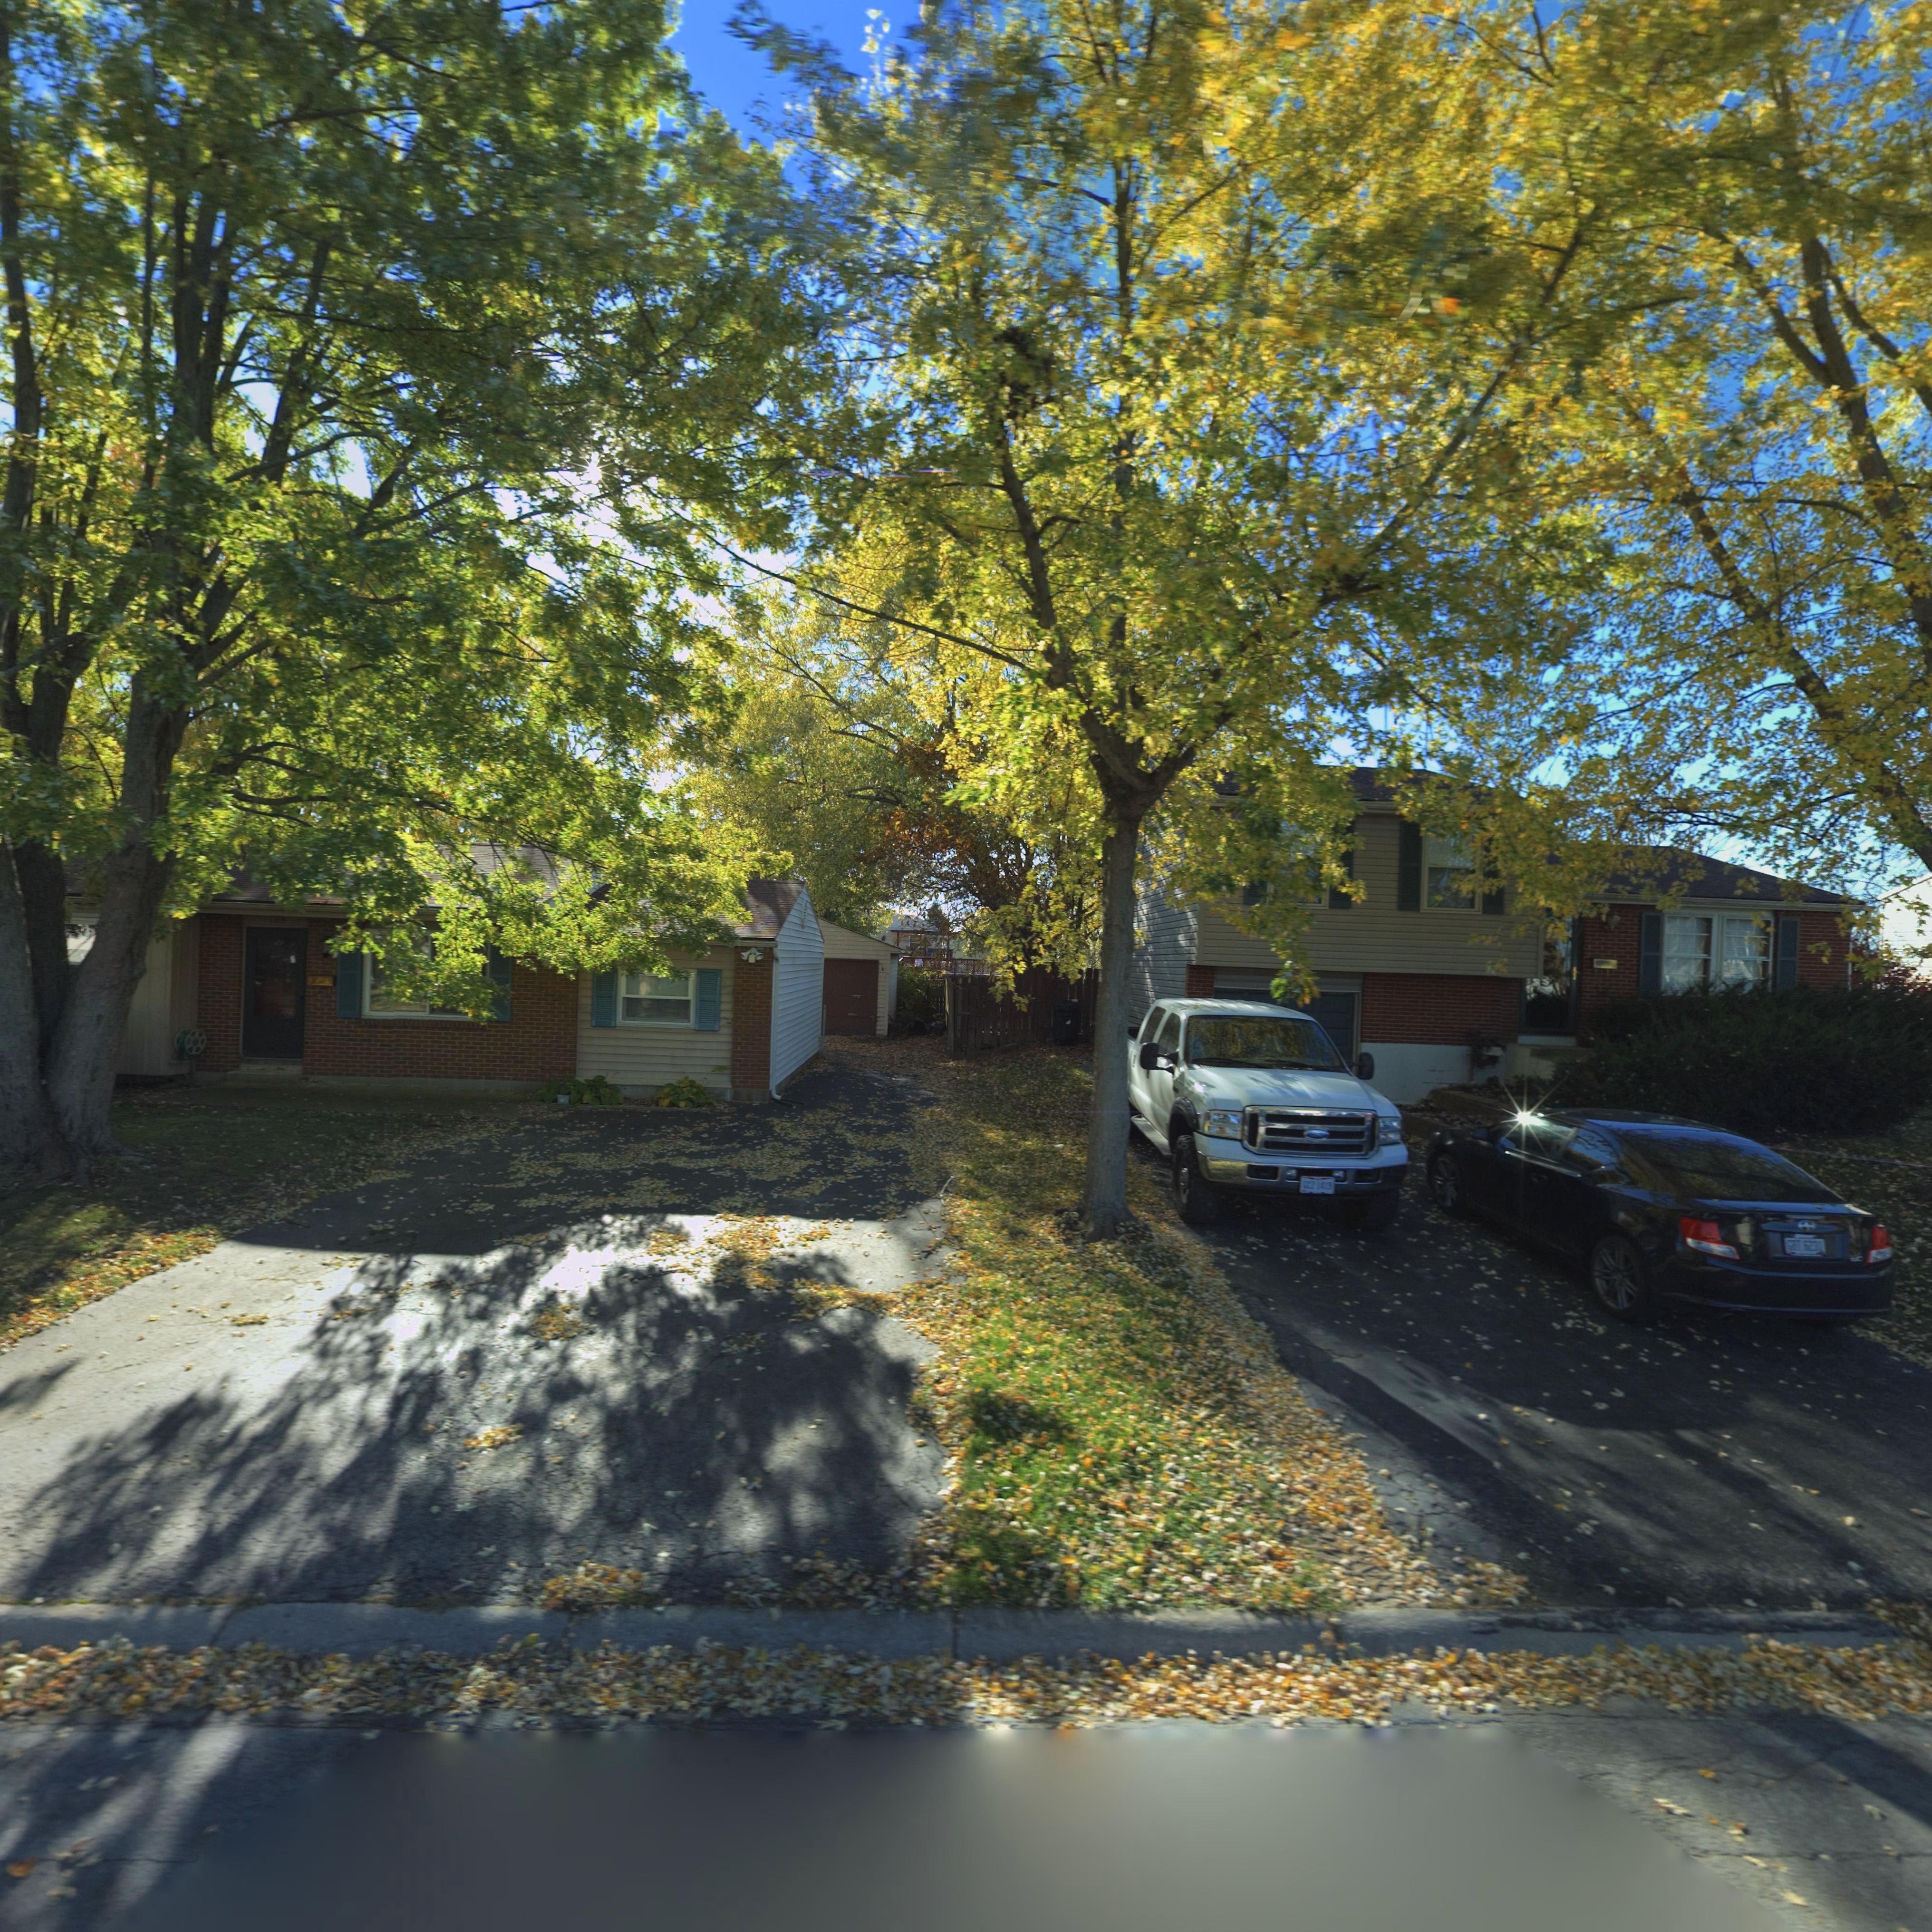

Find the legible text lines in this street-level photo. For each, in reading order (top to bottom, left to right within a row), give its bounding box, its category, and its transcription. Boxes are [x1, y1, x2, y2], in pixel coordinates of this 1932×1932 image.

[269, 915, 286, 924] StreetNumber: 123